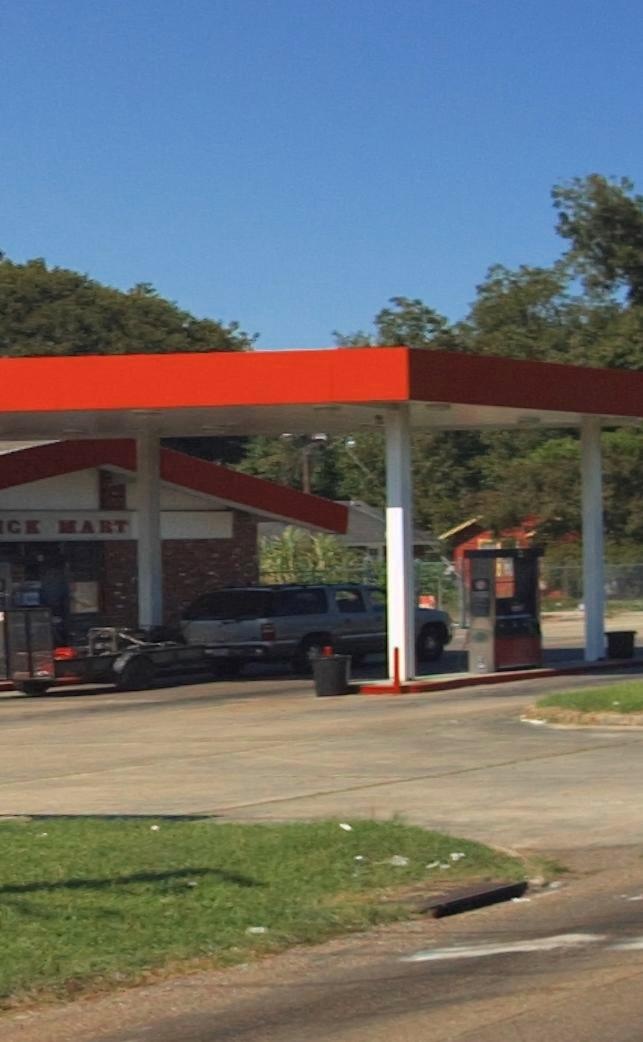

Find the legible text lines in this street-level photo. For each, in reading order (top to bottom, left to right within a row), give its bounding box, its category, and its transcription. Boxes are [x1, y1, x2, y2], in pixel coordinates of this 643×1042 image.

[4, 517, 131, 536] BusinessName: CK MART